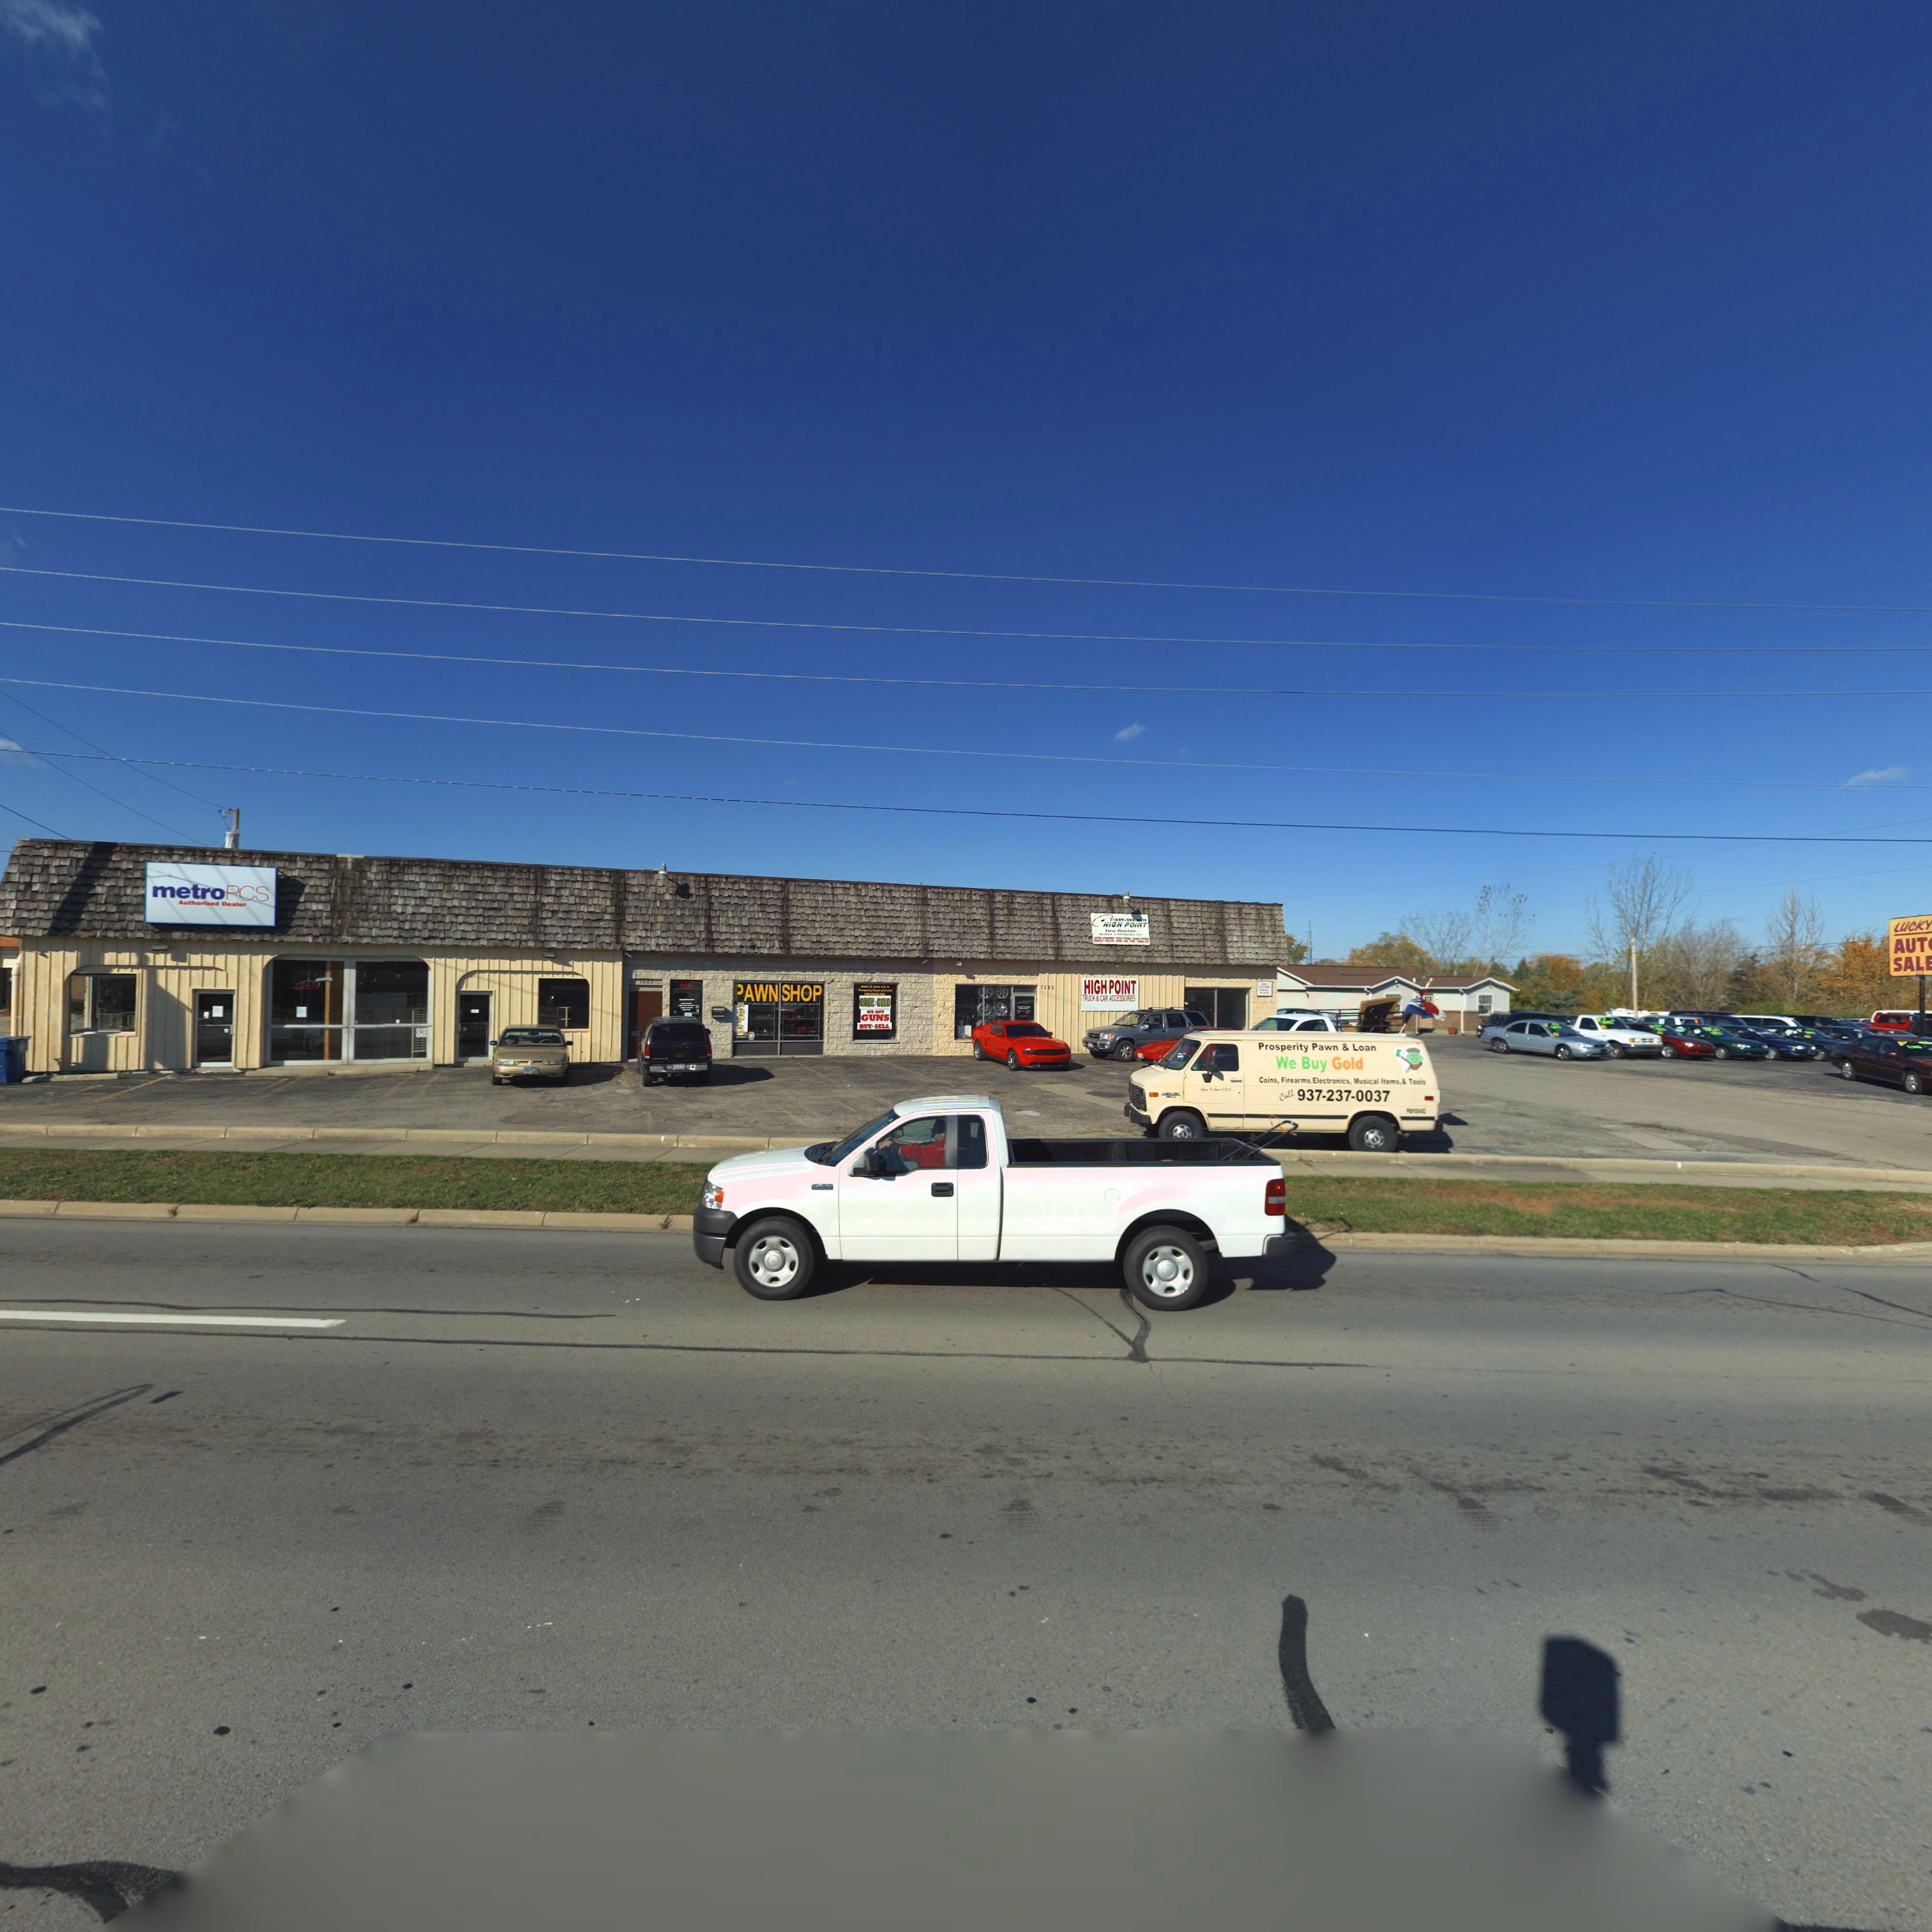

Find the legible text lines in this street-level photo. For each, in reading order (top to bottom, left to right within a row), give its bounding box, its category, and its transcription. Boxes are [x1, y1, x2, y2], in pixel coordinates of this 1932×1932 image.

[152, 883, 270, 902] BusinessName: metroPCS
[1102, 921, 1148, 928] BusinessName: HIGH POINT
[1893, 920, 1926, 933] BusinessName: LUCK
[1893, 937, 1928, 954] BusinessName: AUT
[1893, 956, 1925, 972] BusinessName: SAL
[638, 978, 655, 984] StreetNumber: 7523
[1040, 985, 1055, 990] StreetNumber: 7525
[1083, 979, 1137, 995] BusinessName: HIGH POINT
[859, 997, 891, 1007] BusinessName: CASH4GOLD